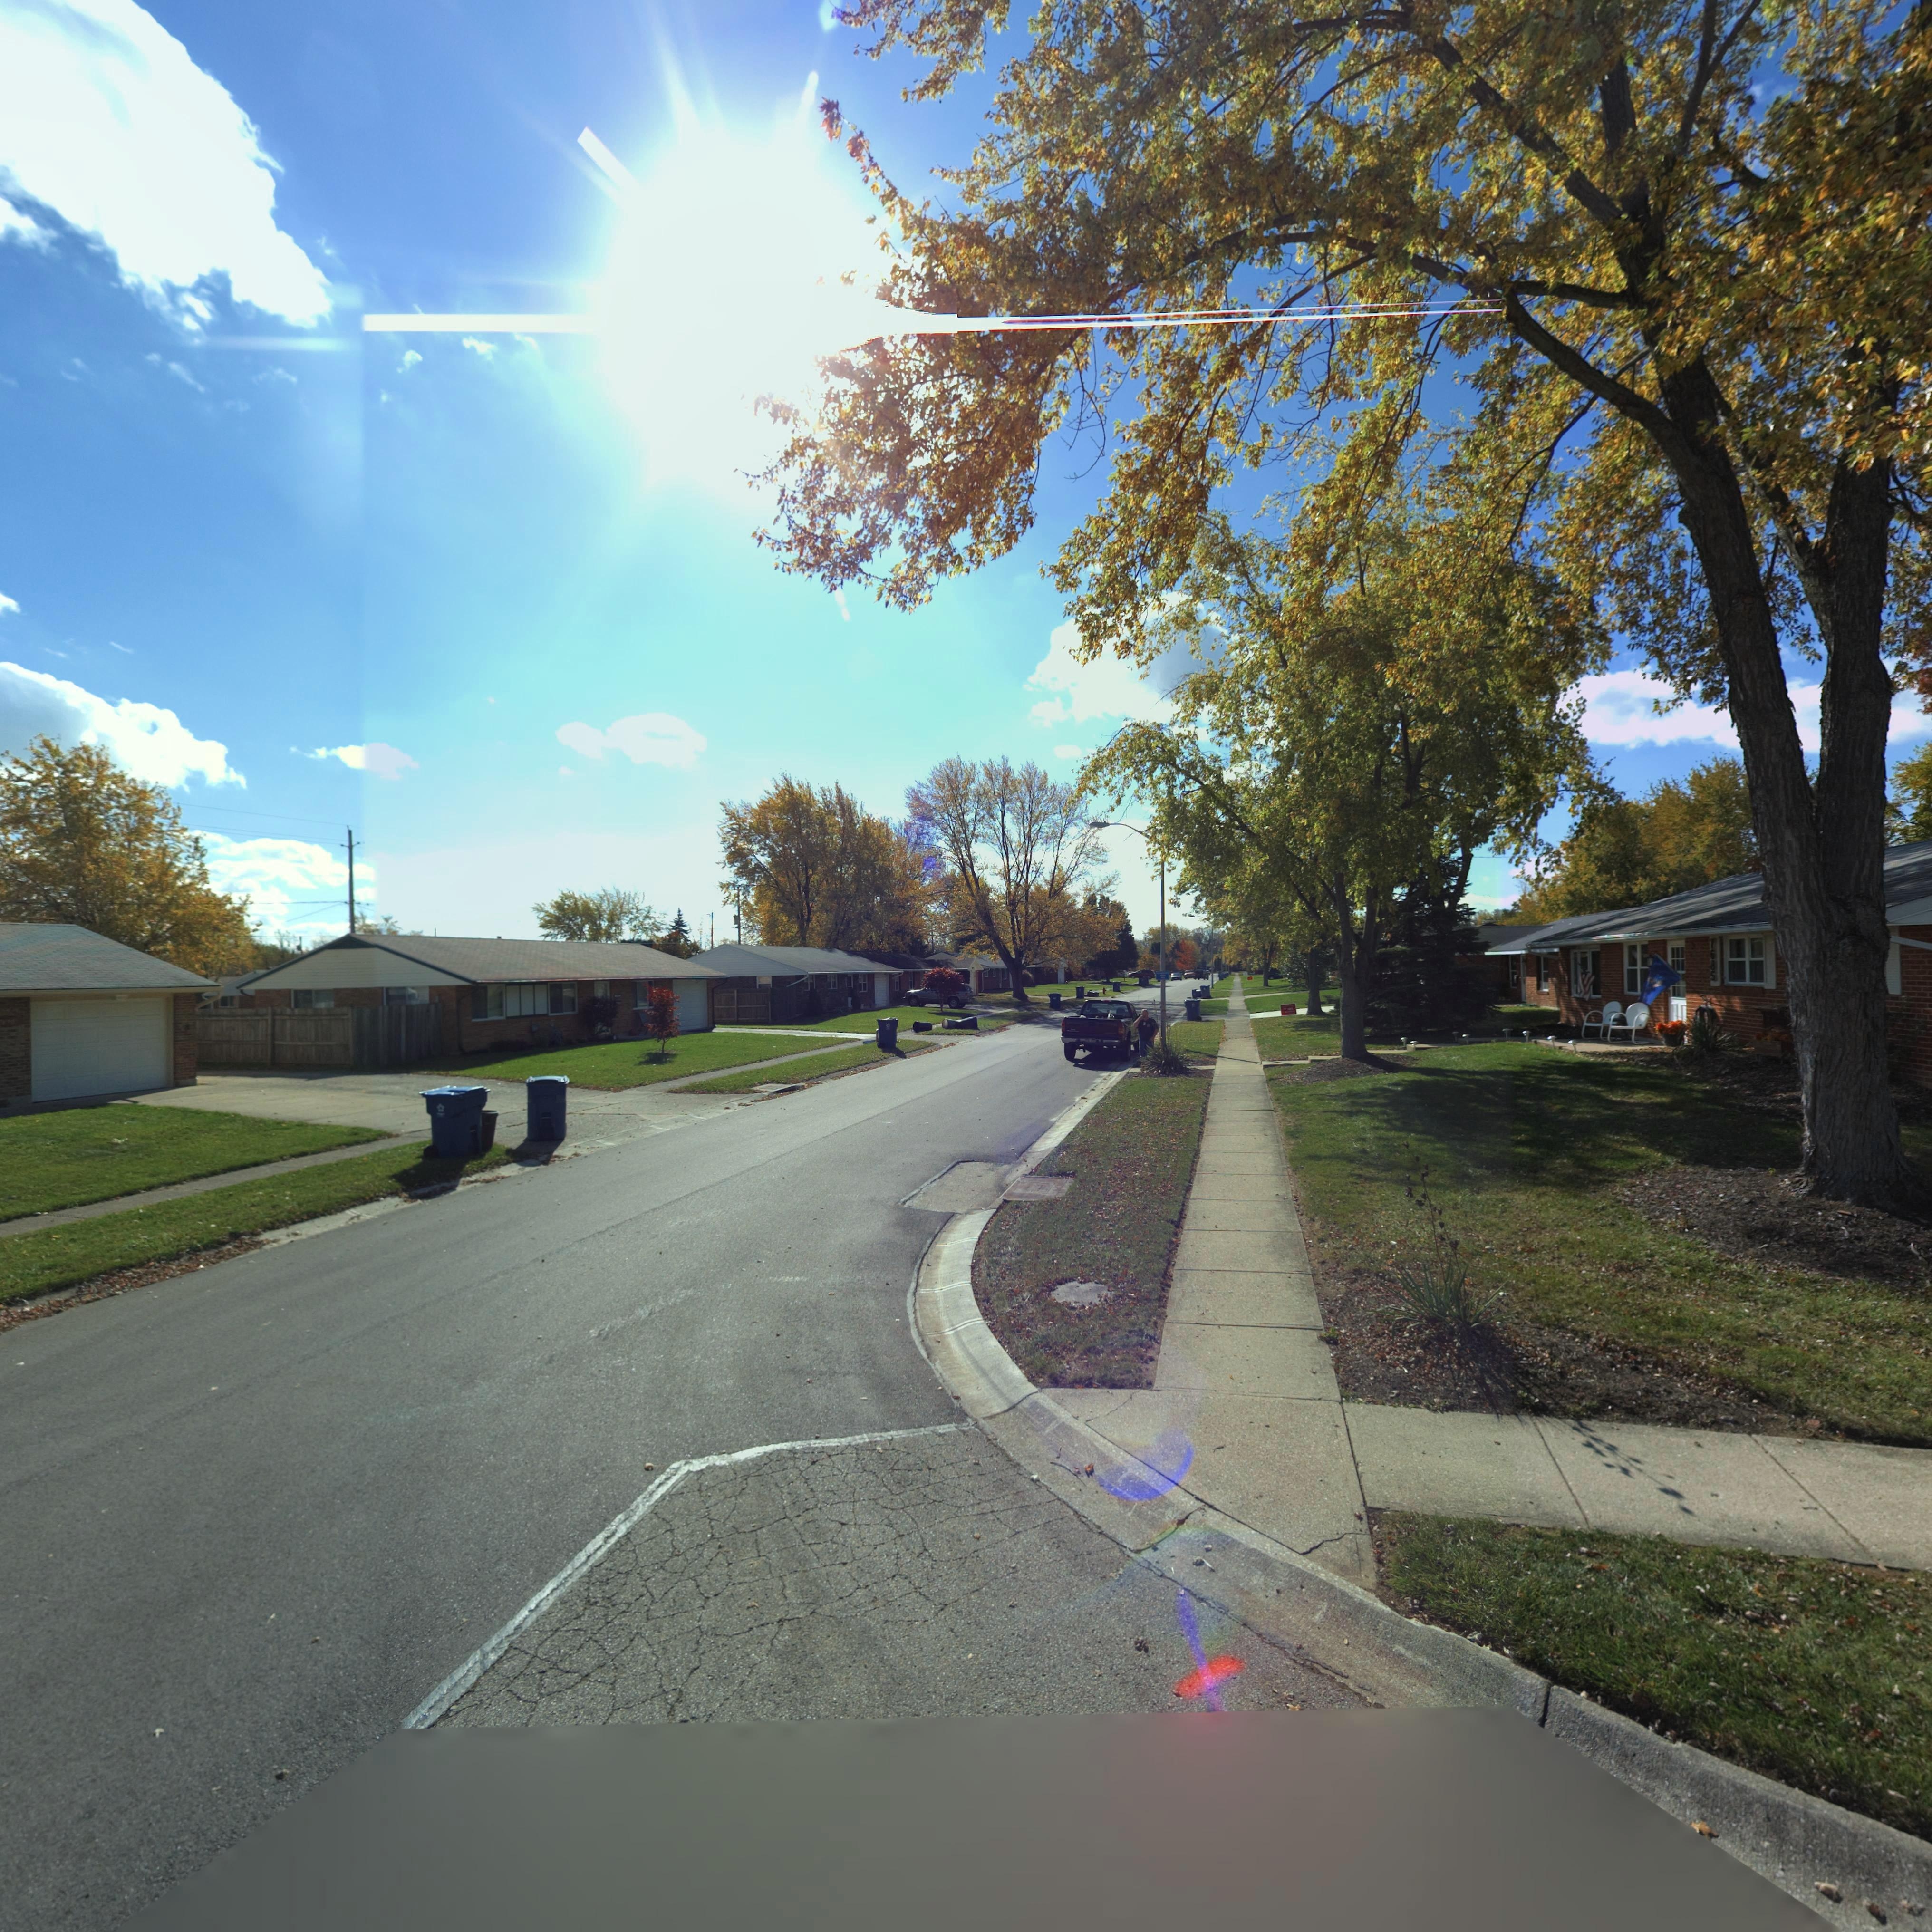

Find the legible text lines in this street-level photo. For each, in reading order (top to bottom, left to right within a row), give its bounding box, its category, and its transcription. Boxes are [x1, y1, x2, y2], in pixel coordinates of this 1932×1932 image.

[1708, 937, 1717, 983] StreetNumber: 76*5